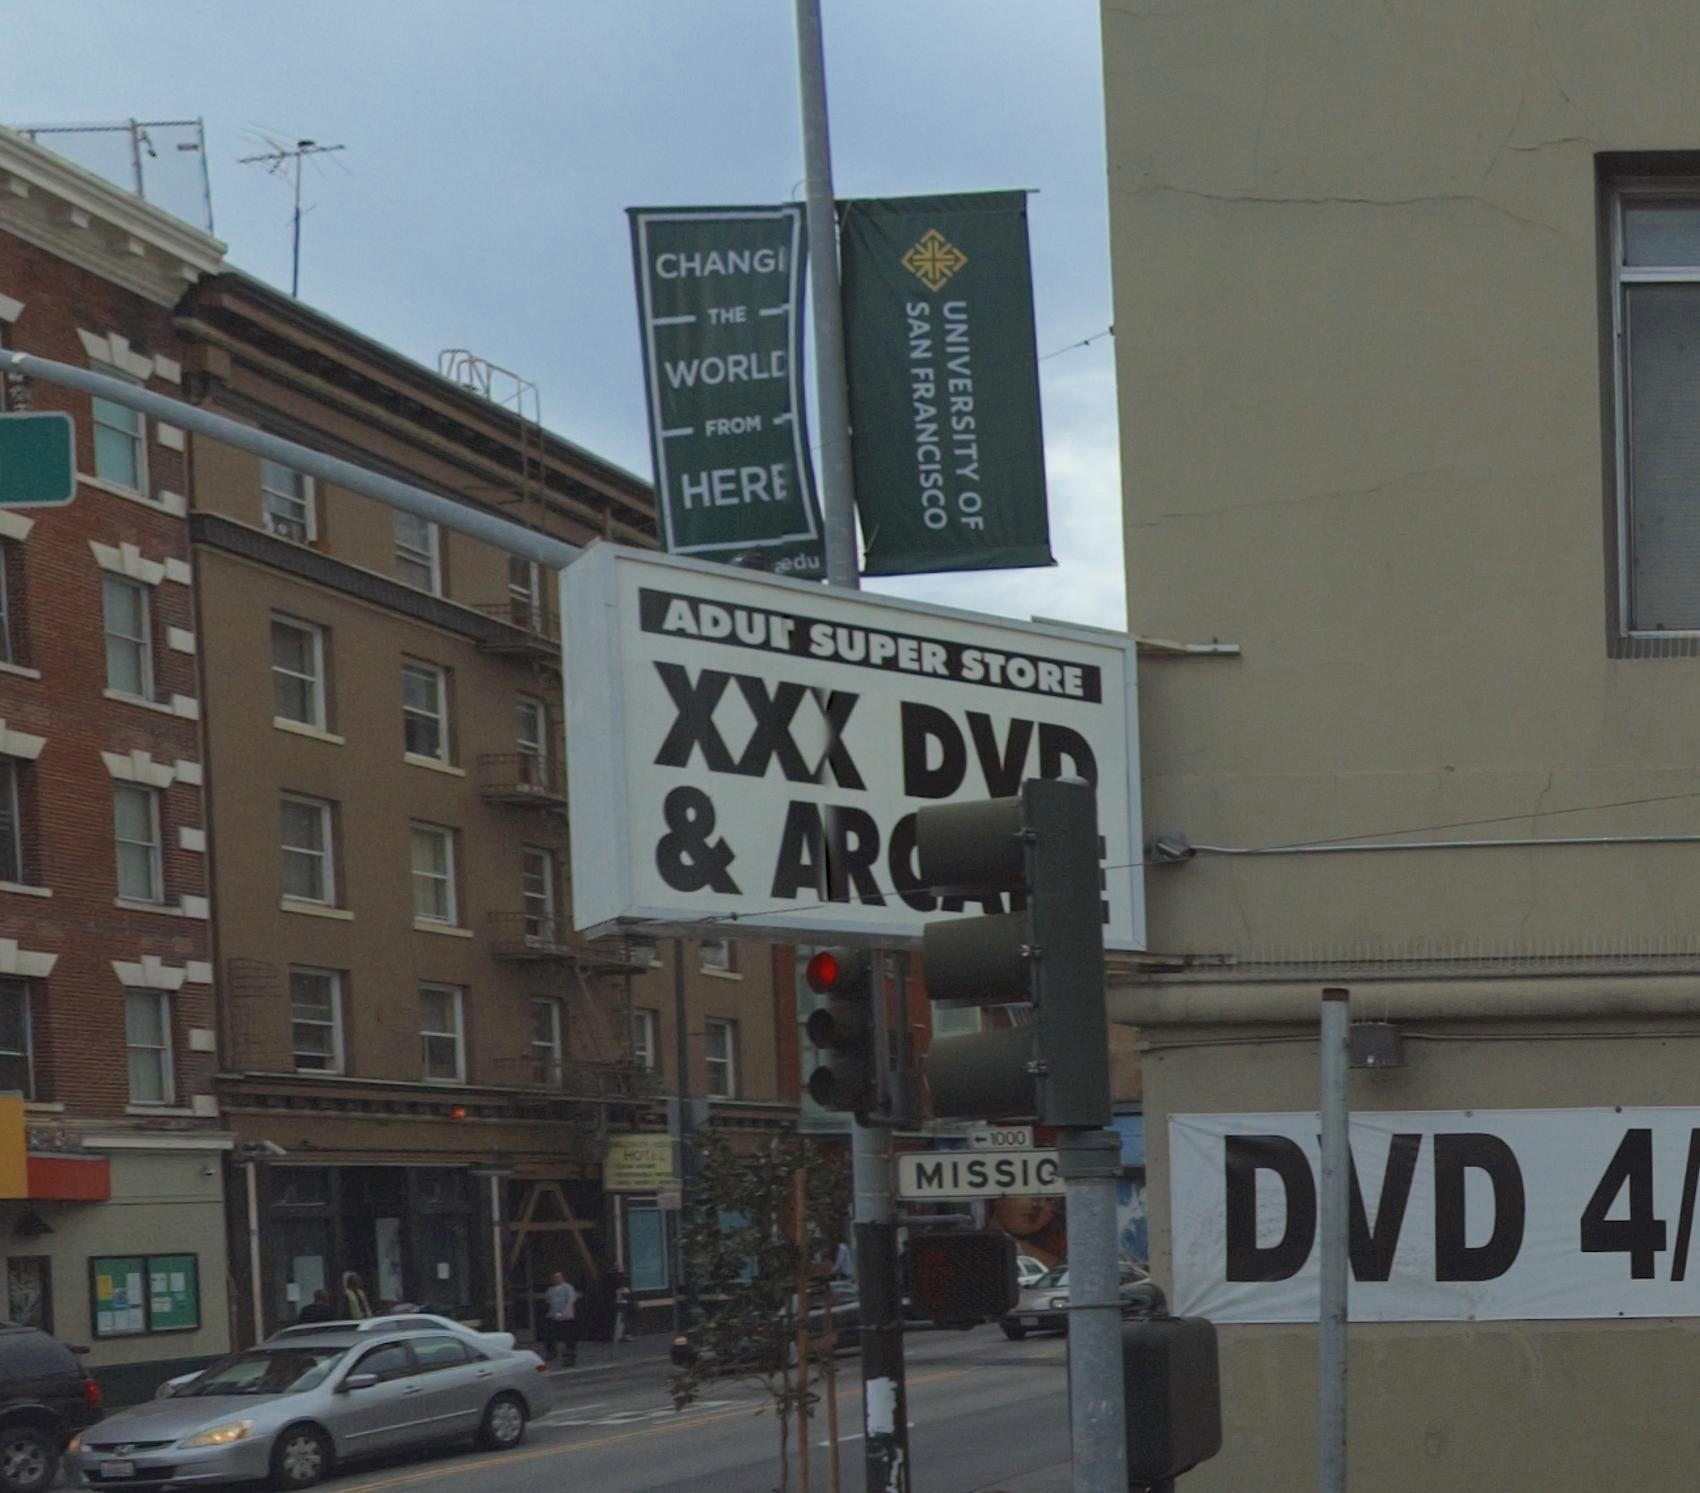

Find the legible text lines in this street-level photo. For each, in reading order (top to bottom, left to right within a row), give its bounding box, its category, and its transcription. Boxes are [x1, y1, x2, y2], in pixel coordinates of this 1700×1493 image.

[652, 244, 779, 283] None: CHANG
[701, 300, 752, 330] None: THE
[657, 347, 775, 393] None: WORL
[702, 410, 765, 441] None: FROM
[903, 296, 953, 535] None: SAN FRANCISCO
[939, 295, 988, 535] None: UNIVERSITY OF
[677, 461, 776, 514] None: HER
[788, 548, 824, 575] None: du
[656, 593, 1088, 700] BusinessName: ADU** SUPER STORE
[647, 654, 973, 806] None: XX* D
[621, 1145, 645, 1165] BusinessName: HO
[910, 1153, 1033, 1195] StreetName: MISSI
[971, 1129, 1029, 1148] StreetNumberRange: <-1000
[1211, 1120, 1675, 1288] None: D*D 4